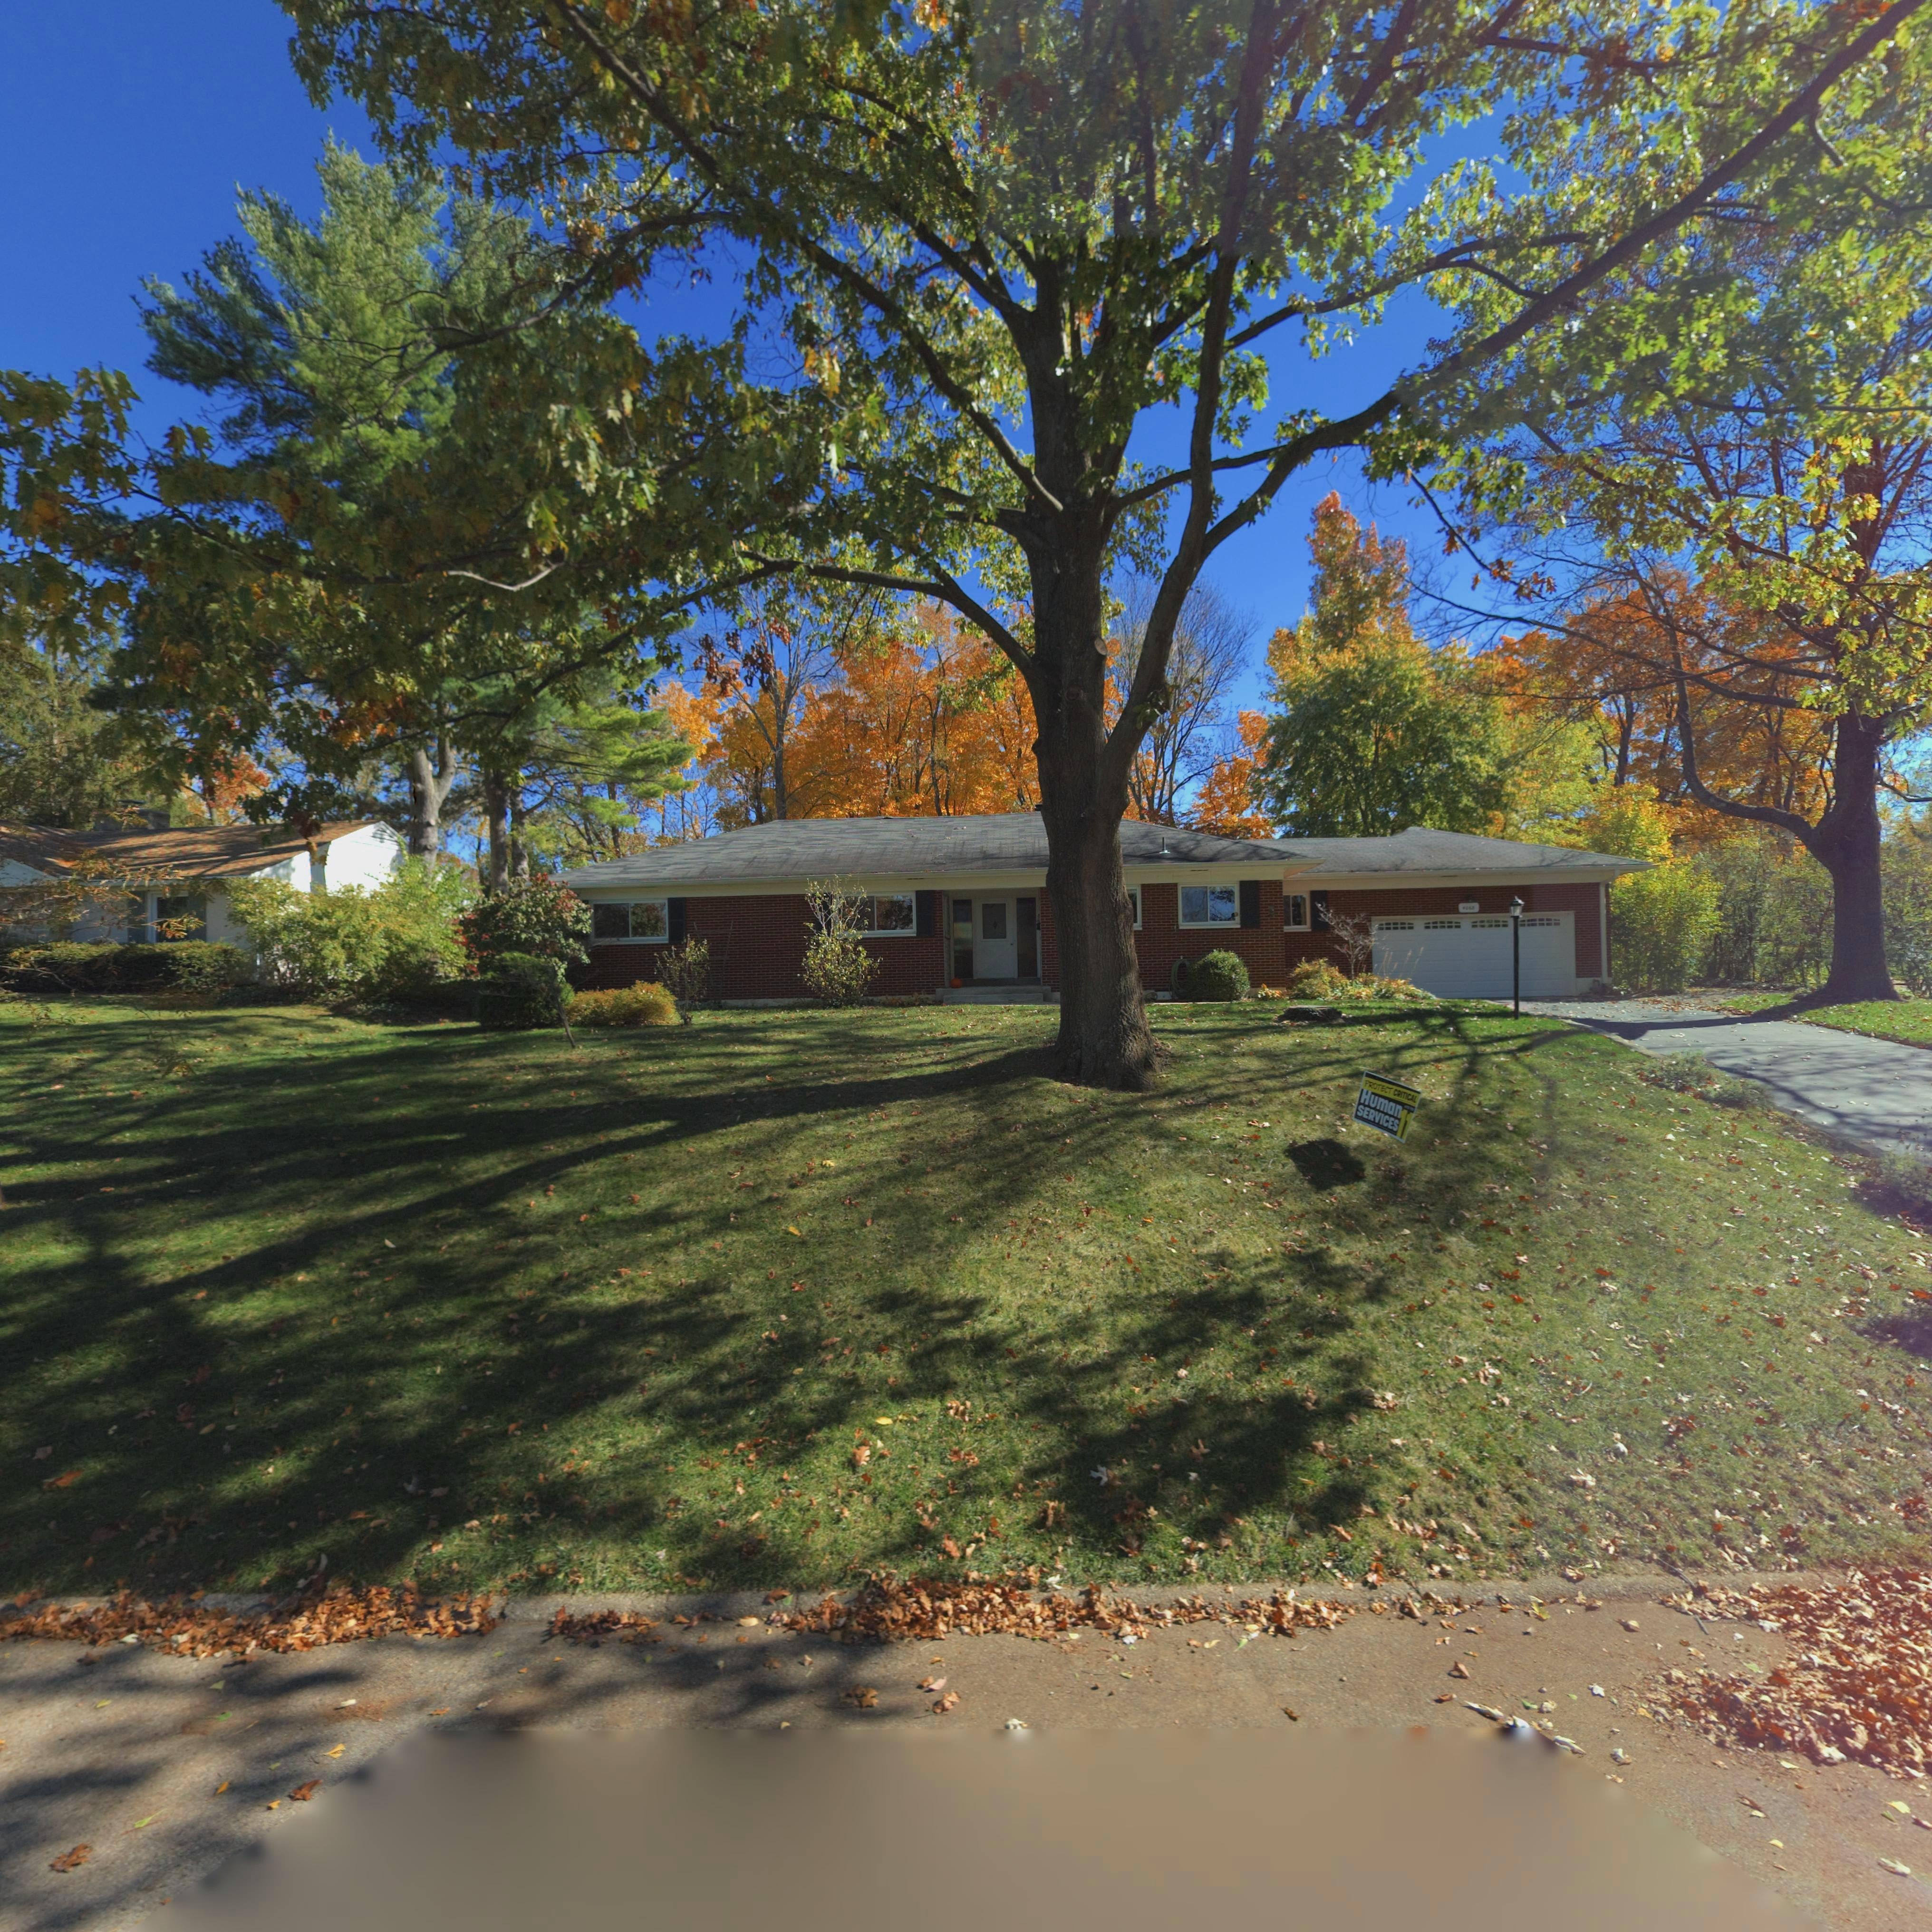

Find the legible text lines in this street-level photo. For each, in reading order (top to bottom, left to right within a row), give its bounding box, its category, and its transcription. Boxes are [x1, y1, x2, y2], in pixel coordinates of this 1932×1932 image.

[1462, 905, 1475, 910] StreetNumber: 406*